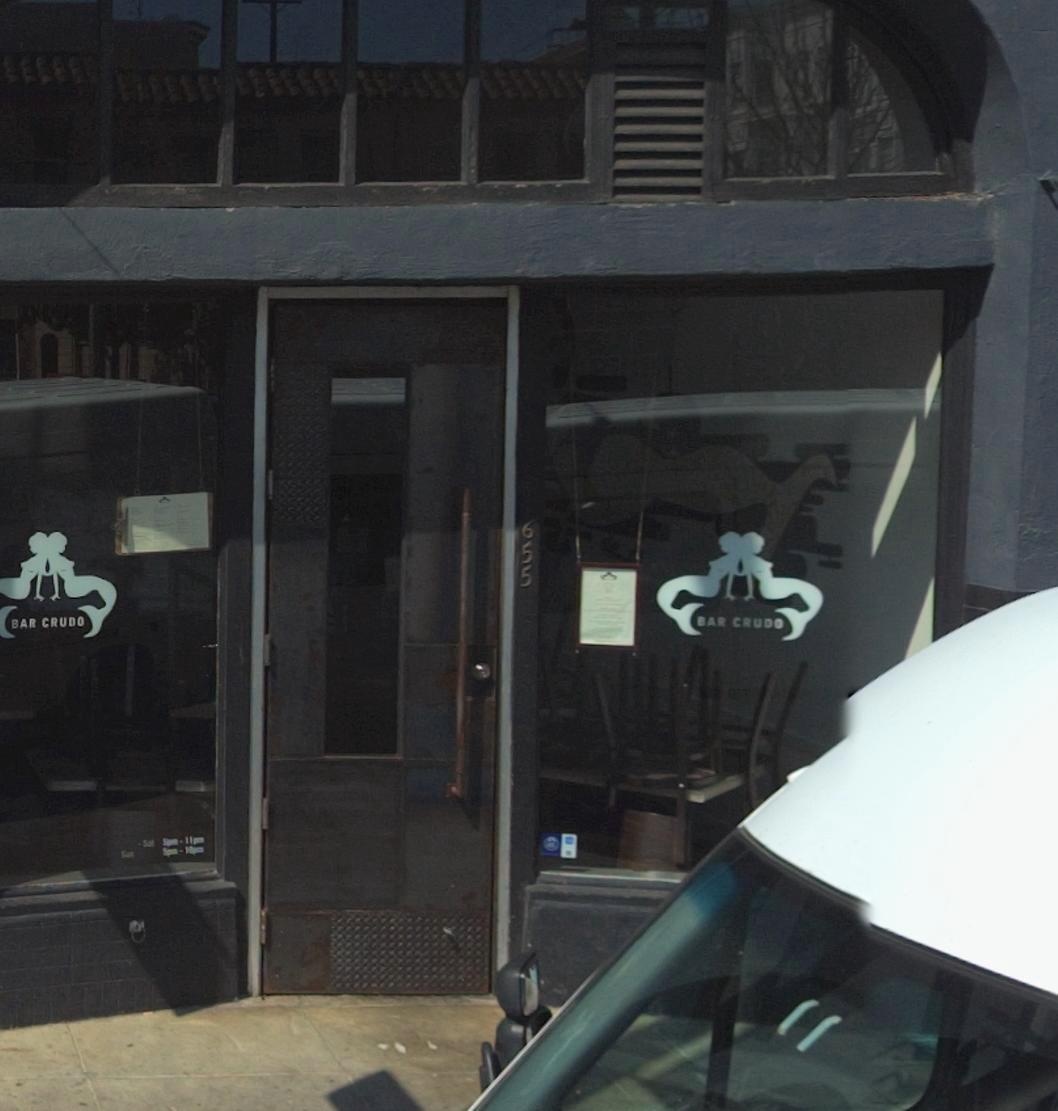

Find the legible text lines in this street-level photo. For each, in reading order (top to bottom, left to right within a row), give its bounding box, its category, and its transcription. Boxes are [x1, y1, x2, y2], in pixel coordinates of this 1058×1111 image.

[518, 518, 536, 590] StreetNumber: 655
[10, 614, 86, 630] BusinessName: BAR CRUDO
[695, 614, 785, 629] BusinessName: BAR CRUDO